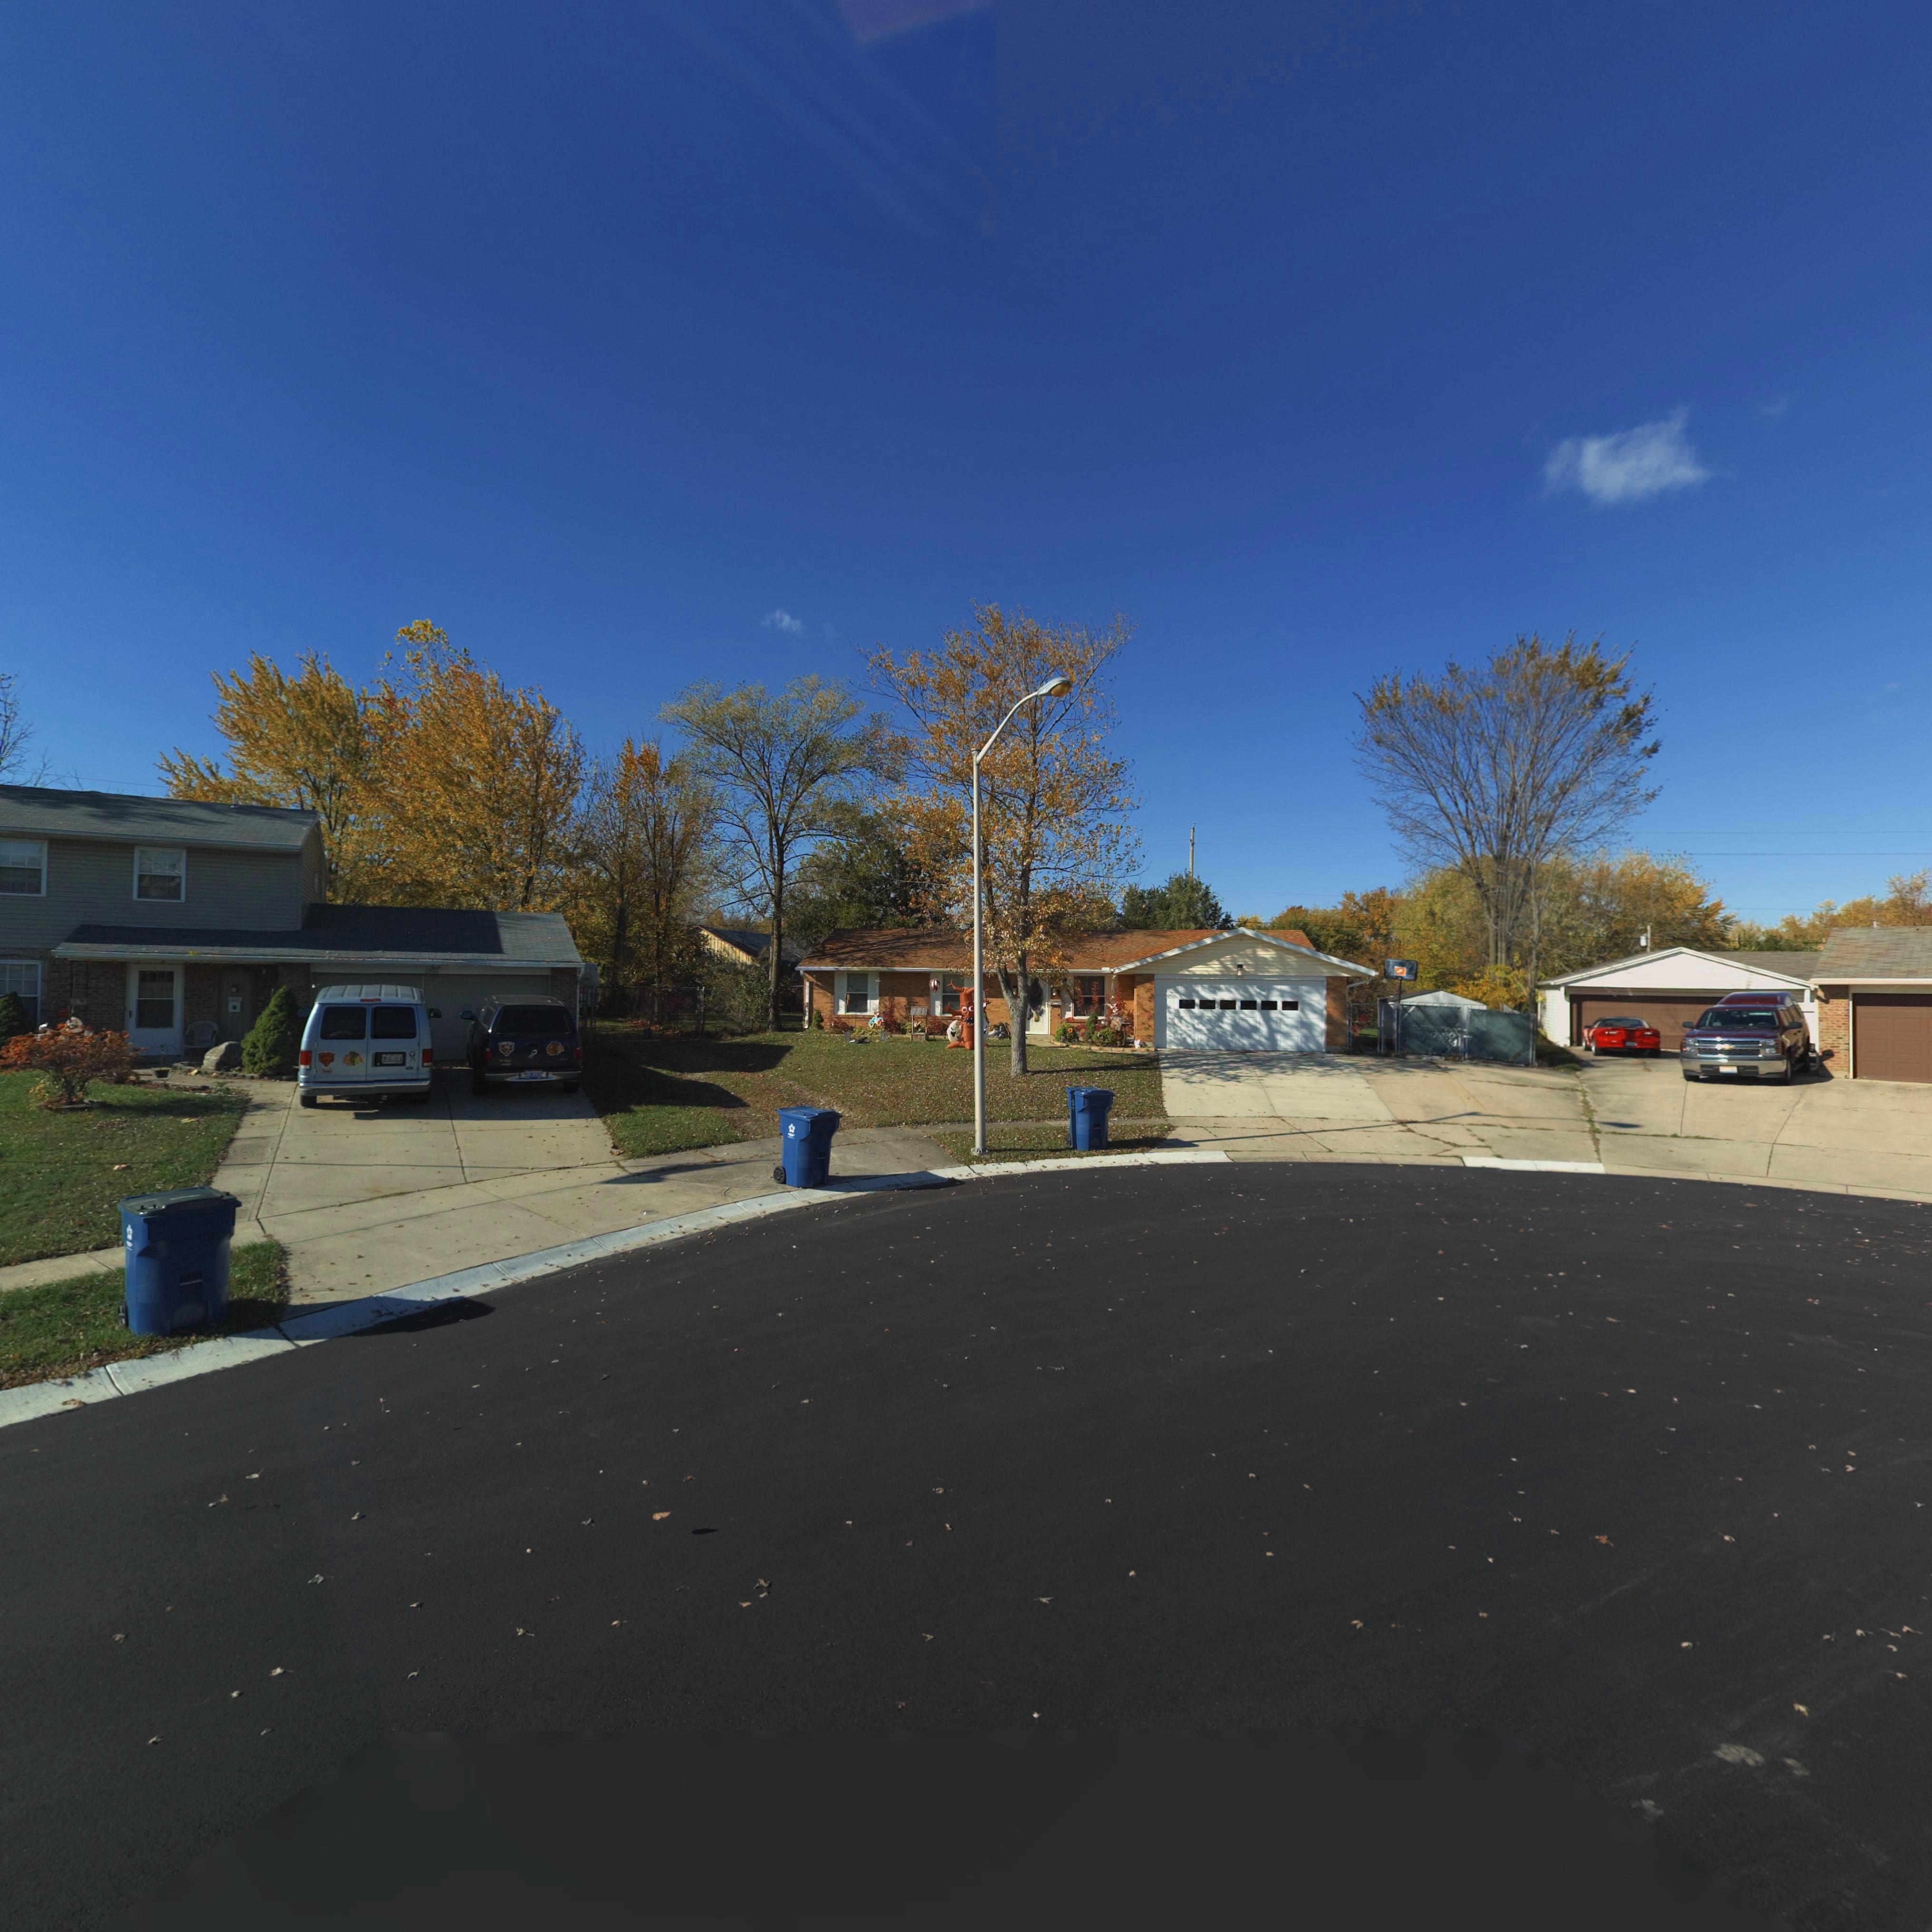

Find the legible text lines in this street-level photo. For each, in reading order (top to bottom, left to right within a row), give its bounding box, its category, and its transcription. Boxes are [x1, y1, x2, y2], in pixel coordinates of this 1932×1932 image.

[425, 968, 439, 974] StreetNumber: 6920